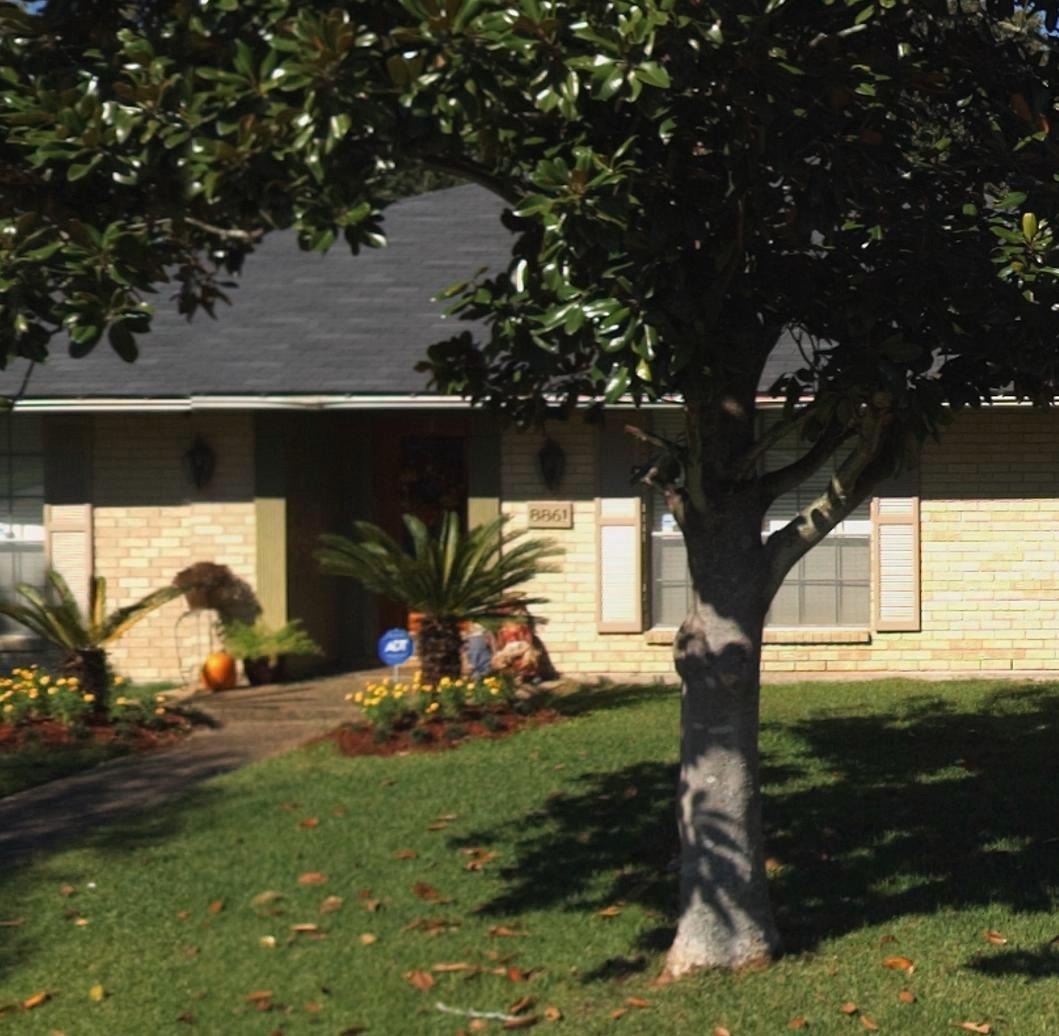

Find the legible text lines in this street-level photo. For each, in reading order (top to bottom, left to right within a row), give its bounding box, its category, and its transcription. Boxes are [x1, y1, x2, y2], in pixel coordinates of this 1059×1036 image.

[528, 507, 569, 523] StreetNumber: 8861
[381, 636, 412, 653] None: ADT